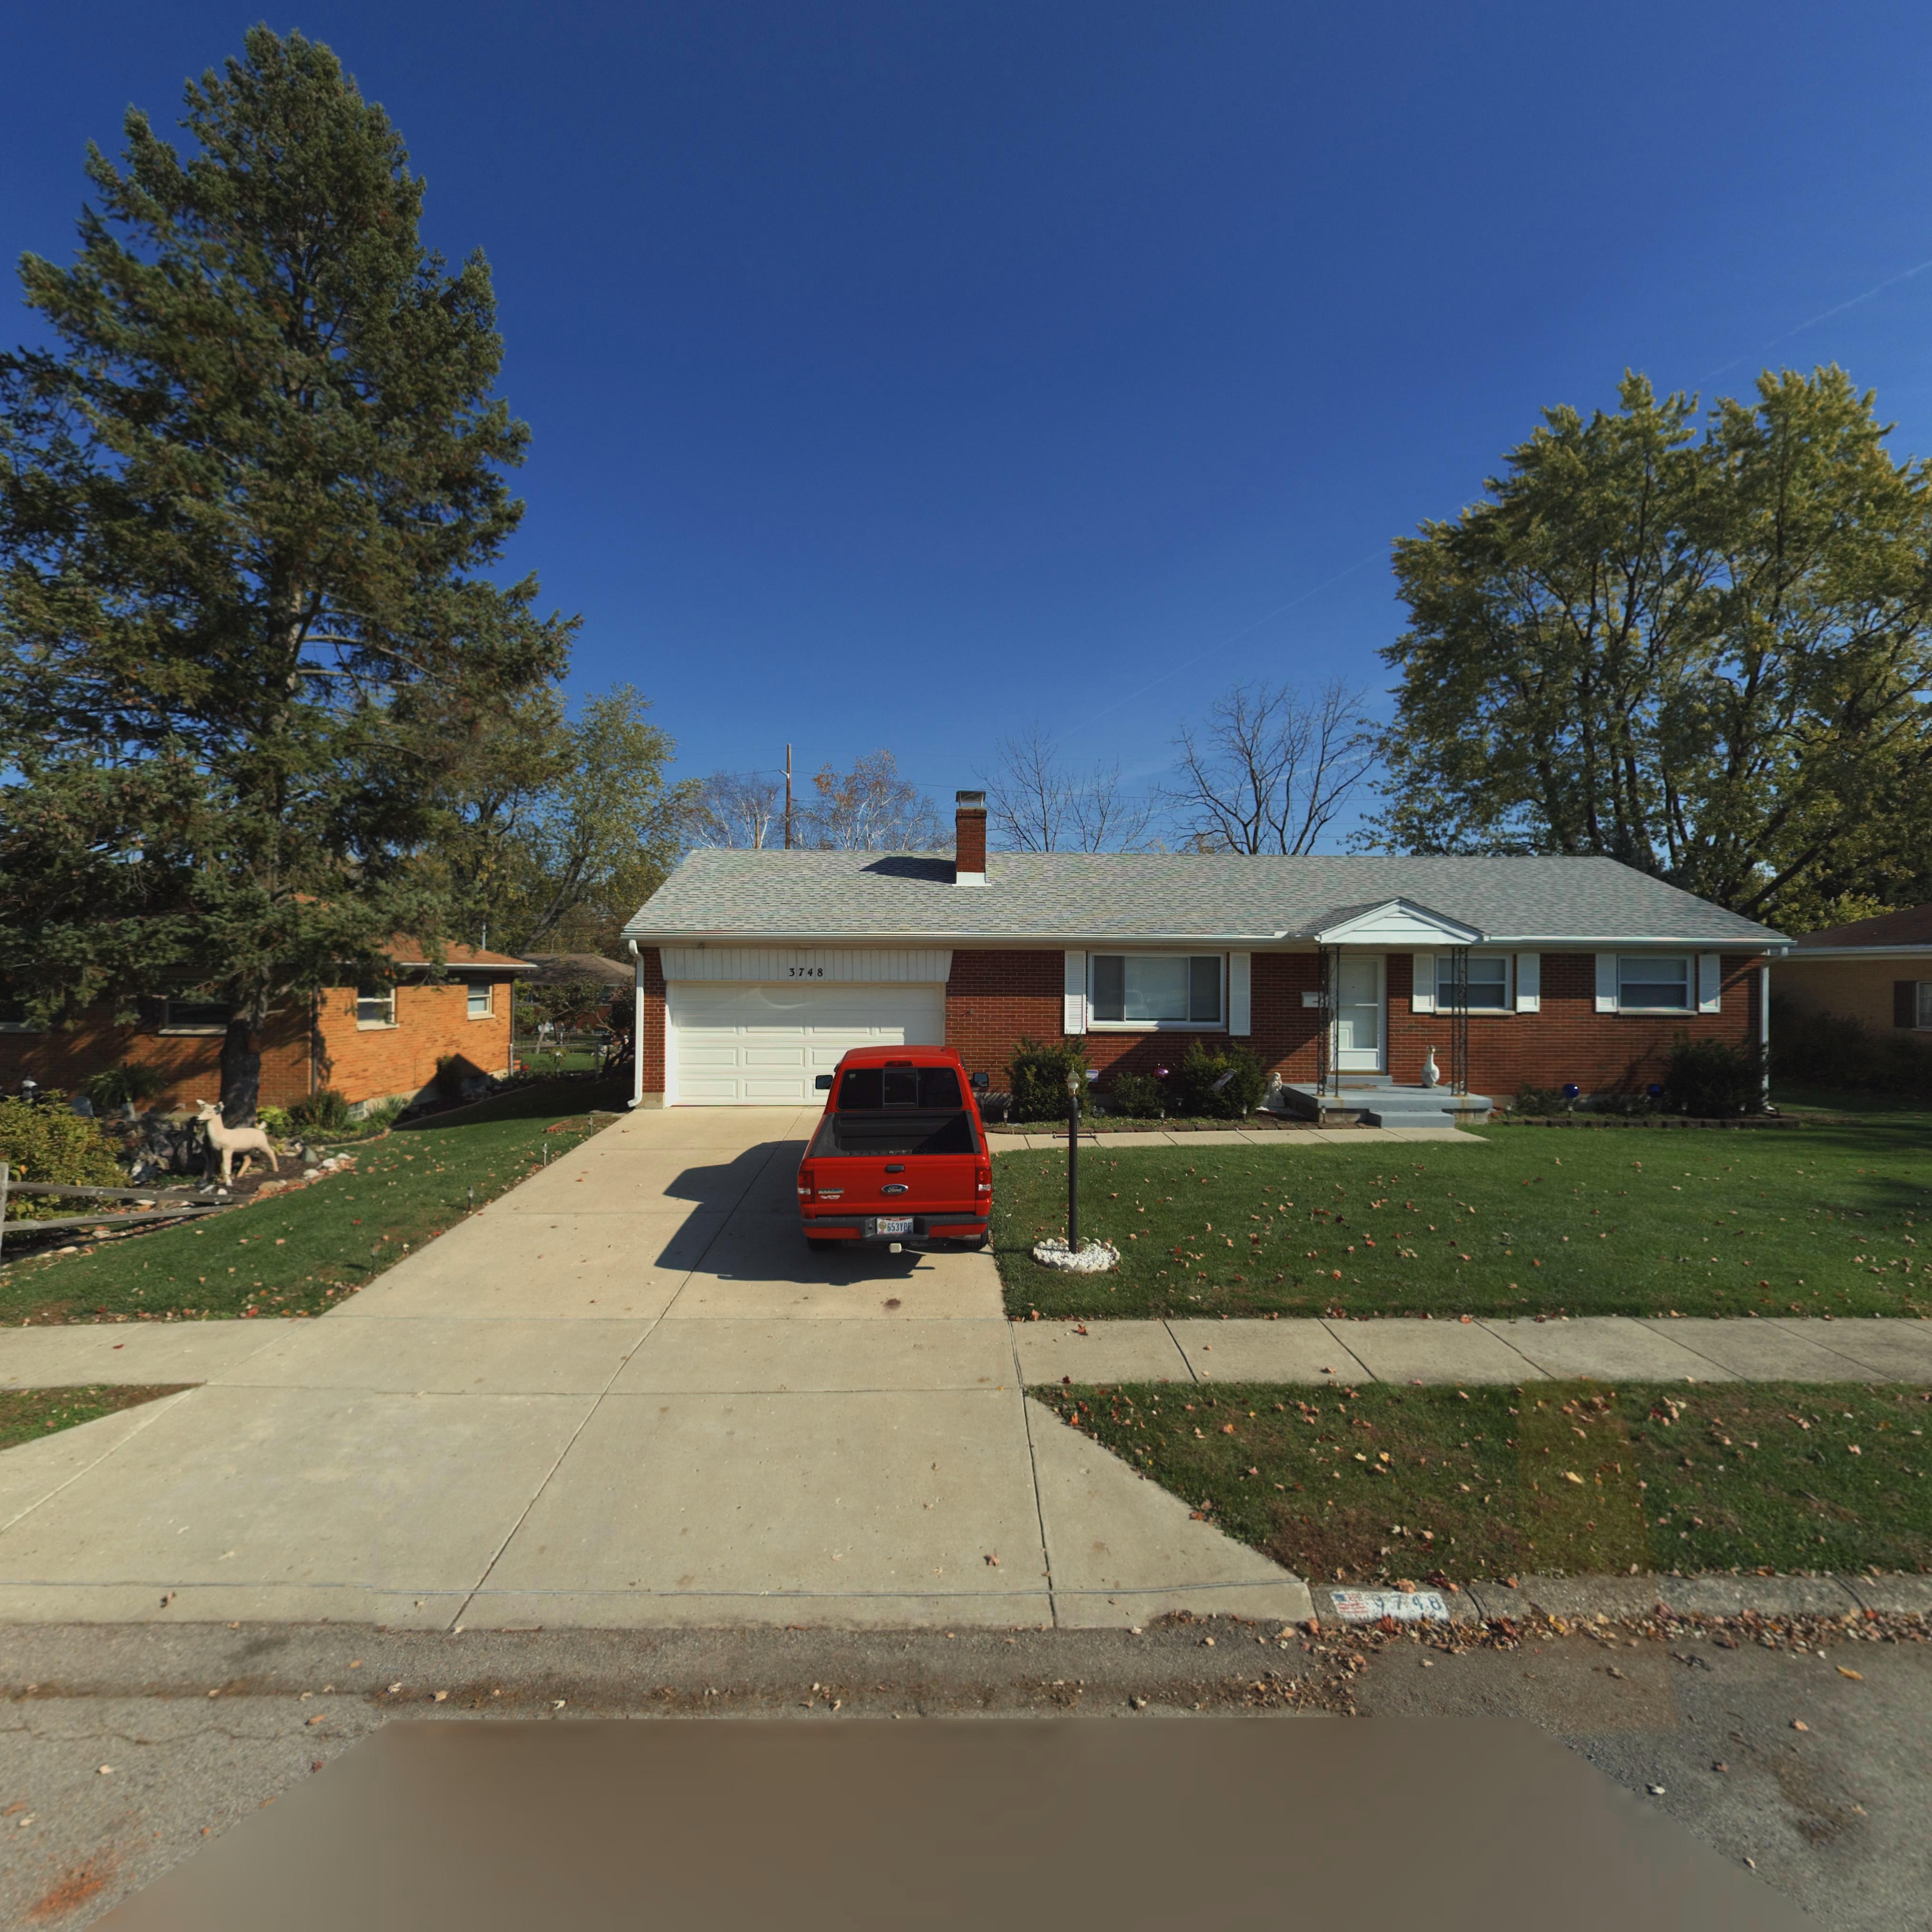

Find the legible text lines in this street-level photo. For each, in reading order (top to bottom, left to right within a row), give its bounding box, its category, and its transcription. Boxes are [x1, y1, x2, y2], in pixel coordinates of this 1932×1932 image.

[788, 966, 823, 976] StreetNumber: 3748
[886, 1222, 911, 1232] None: 653YSPE
[1368, 1593, 1444, 1611] StreetNumber: 3748